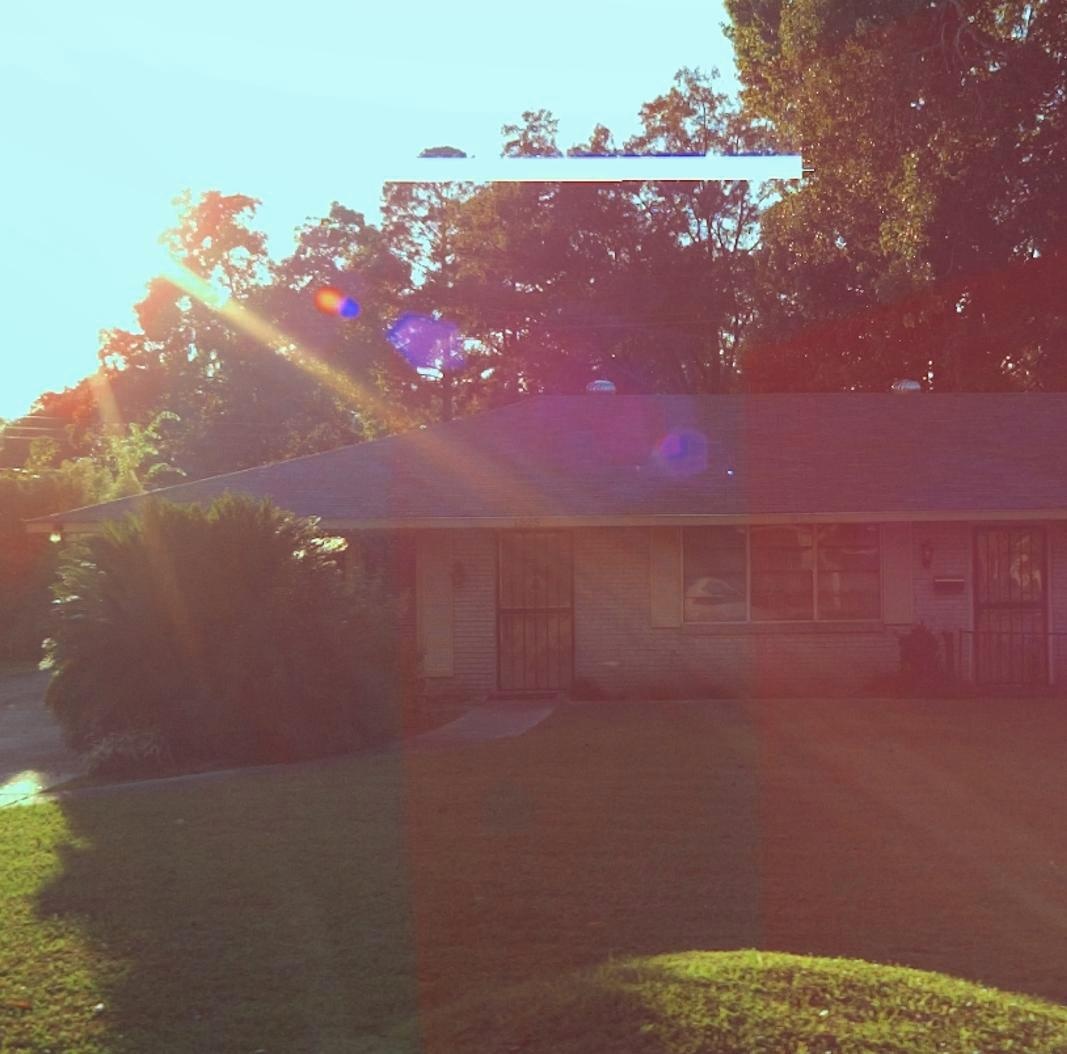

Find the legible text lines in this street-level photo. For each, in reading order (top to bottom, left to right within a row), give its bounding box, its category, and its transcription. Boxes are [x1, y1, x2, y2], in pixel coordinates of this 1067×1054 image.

[514, 517, 541, 527] StreetNumber: 1525